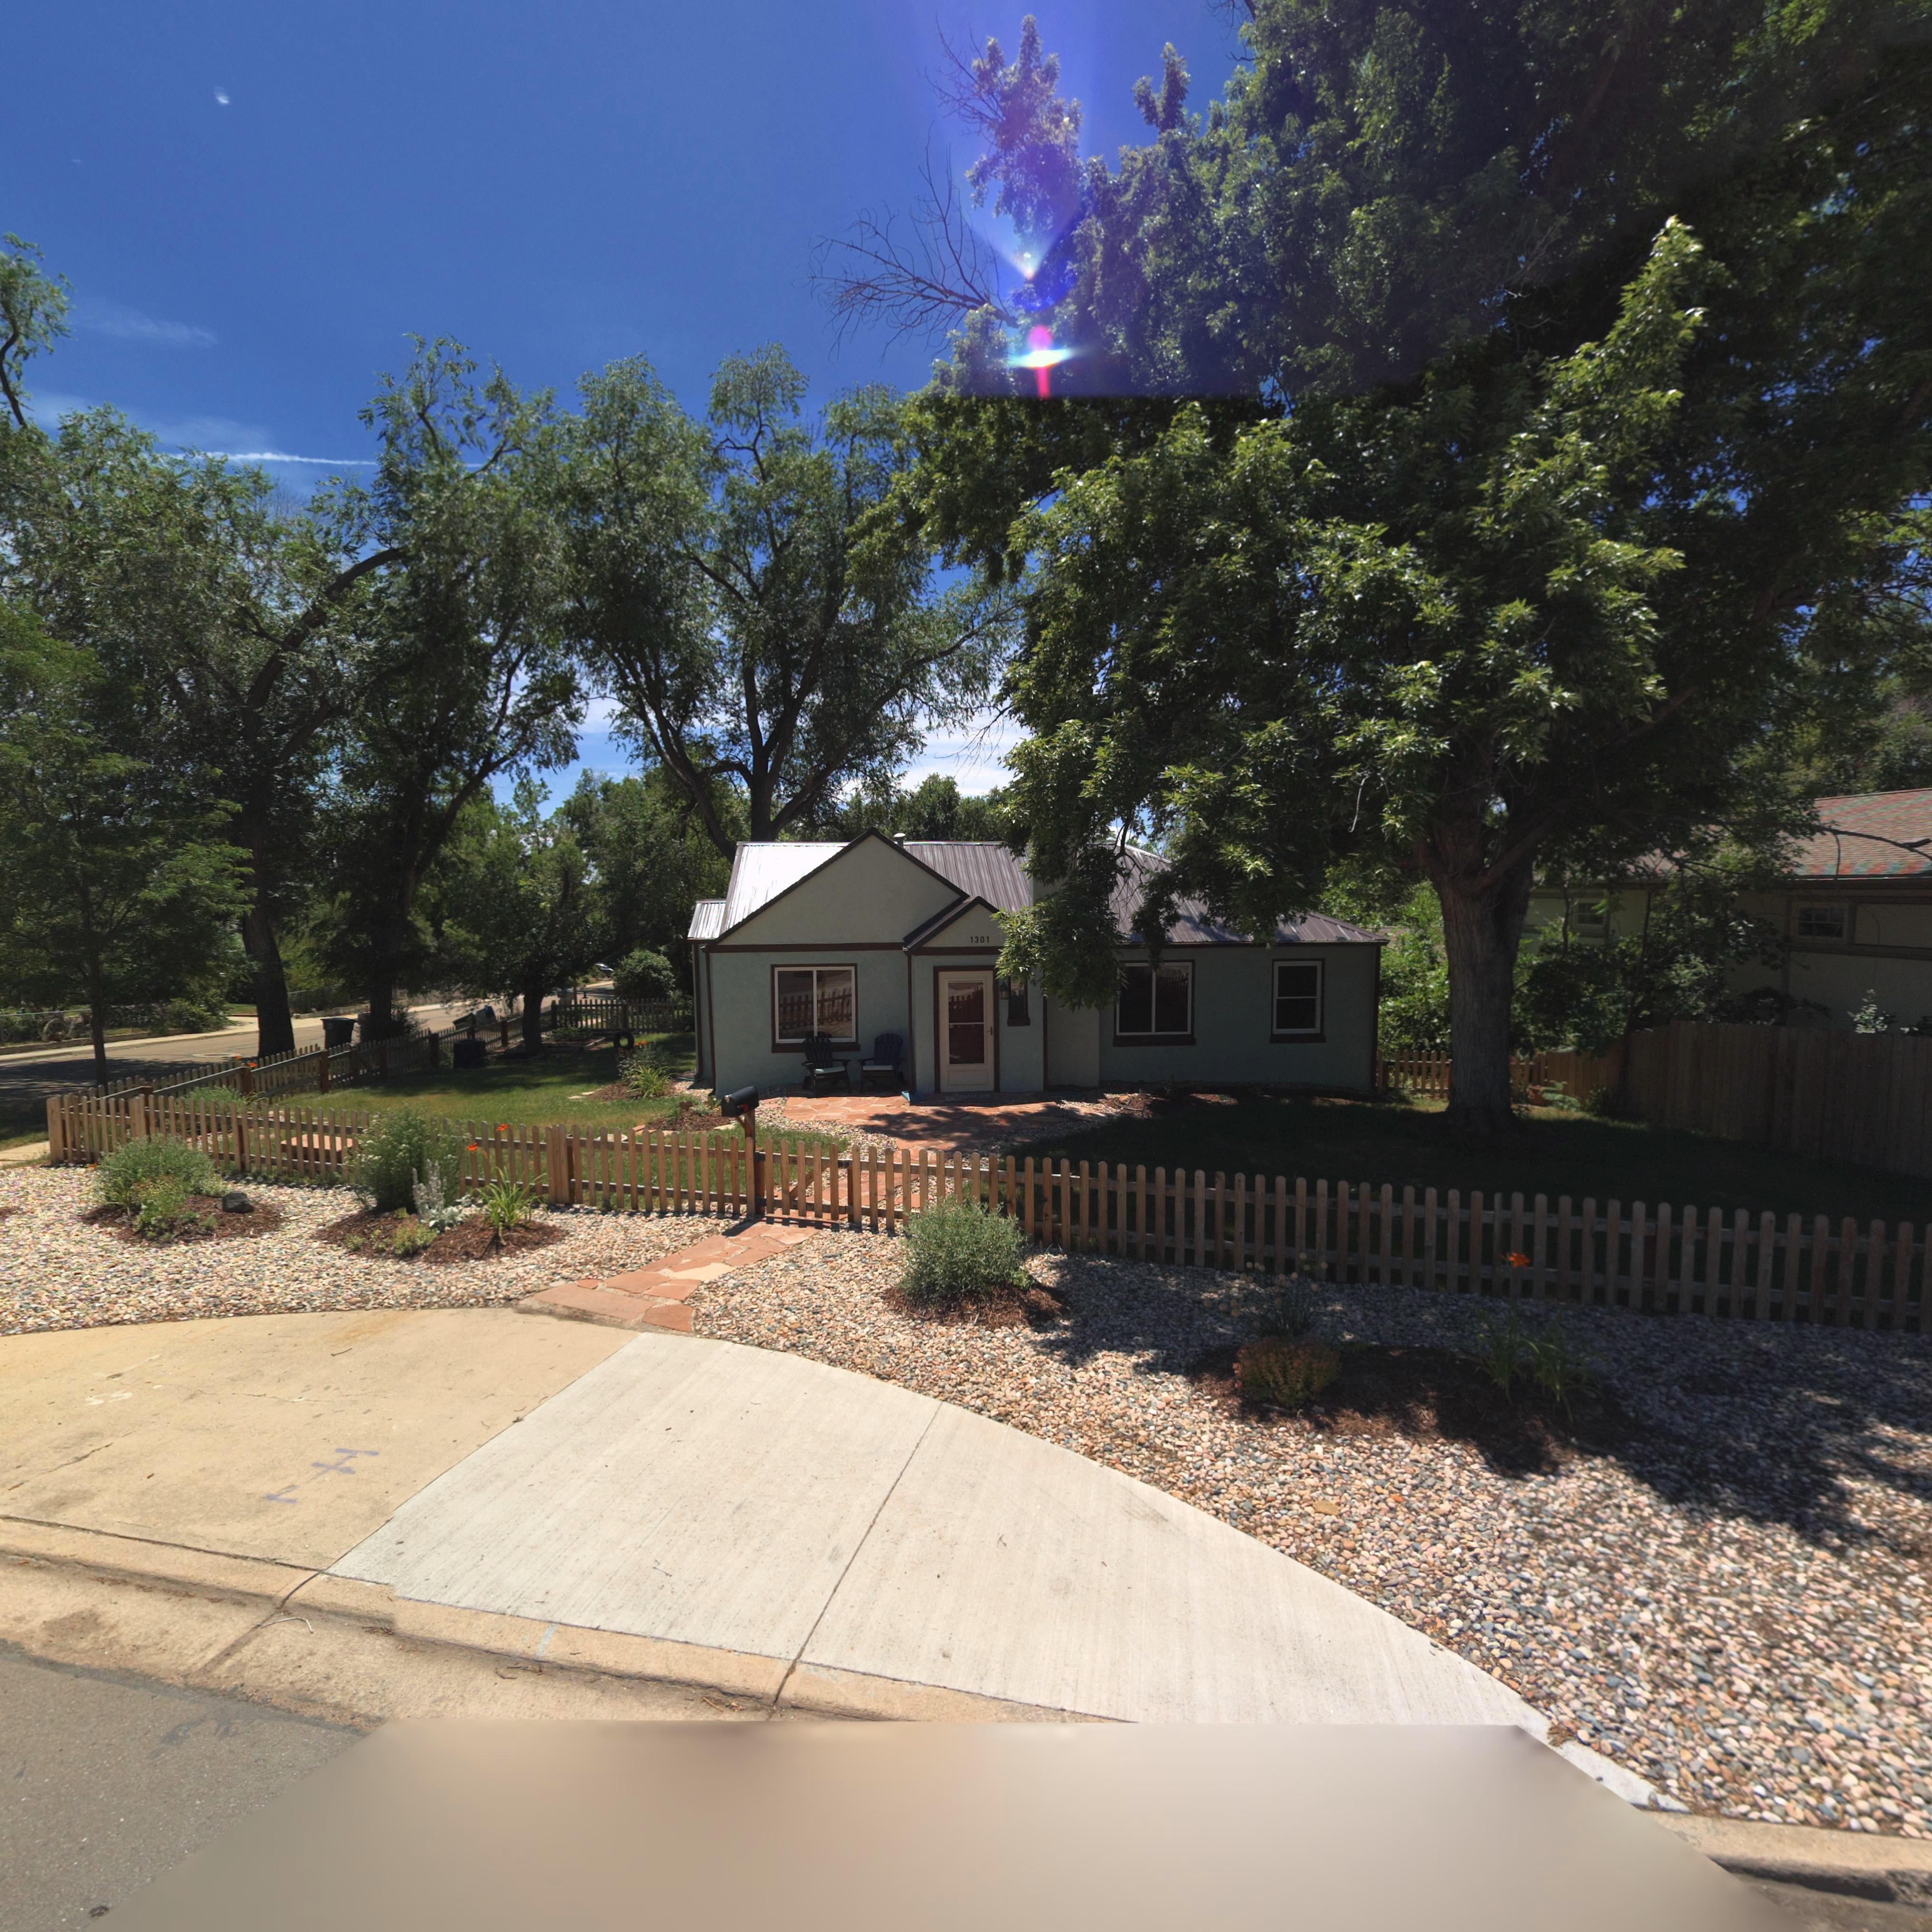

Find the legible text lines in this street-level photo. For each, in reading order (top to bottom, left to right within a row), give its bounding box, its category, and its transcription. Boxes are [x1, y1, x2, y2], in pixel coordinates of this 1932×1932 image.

[970, 936, 989, 943] StreetNumber: 1301